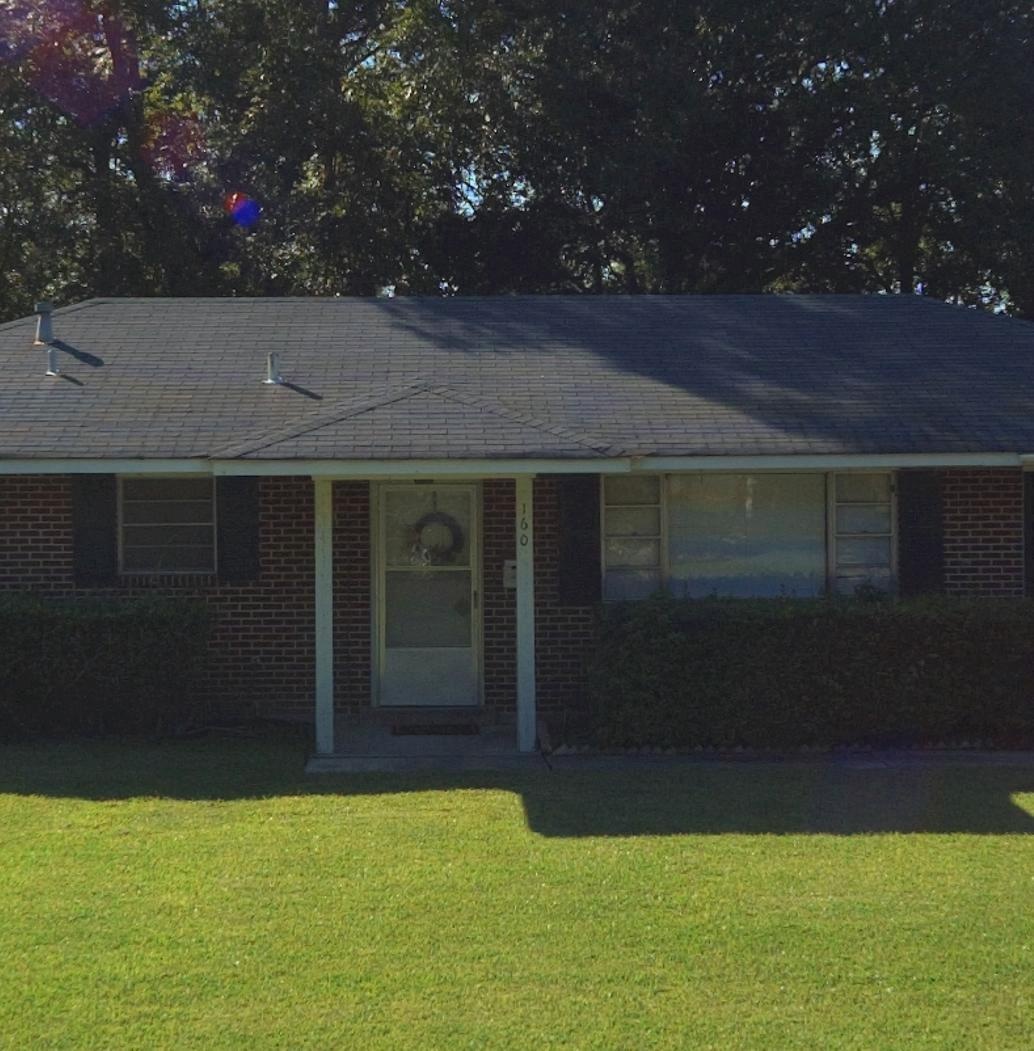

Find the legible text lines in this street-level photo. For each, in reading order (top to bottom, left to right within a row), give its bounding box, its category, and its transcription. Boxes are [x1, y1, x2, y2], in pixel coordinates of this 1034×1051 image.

[518, 501, 530, 548] StreetNumber: 160